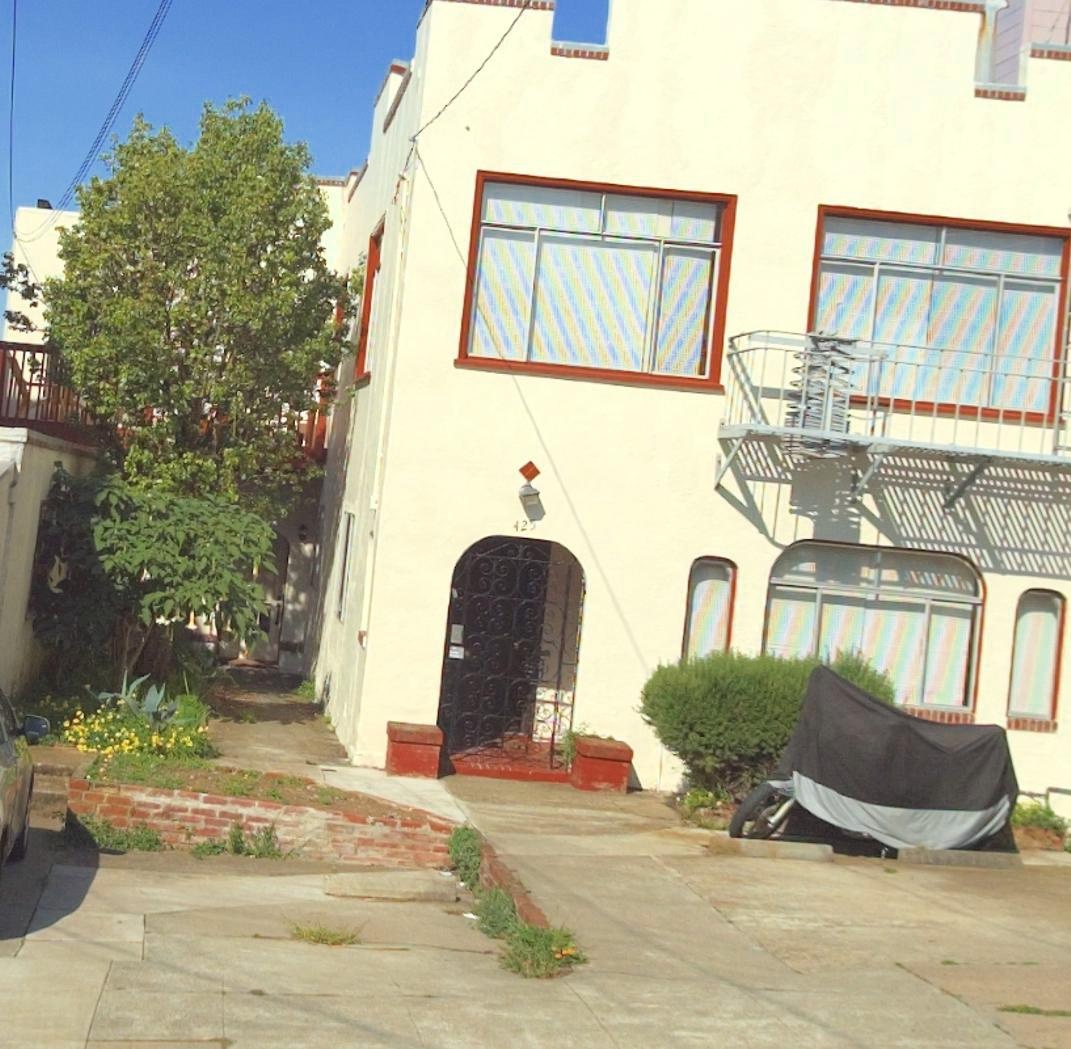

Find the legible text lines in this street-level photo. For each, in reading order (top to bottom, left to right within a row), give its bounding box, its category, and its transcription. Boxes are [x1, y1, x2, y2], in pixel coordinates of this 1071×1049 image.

[511, 516, 539, 535] StreetNumber: 425